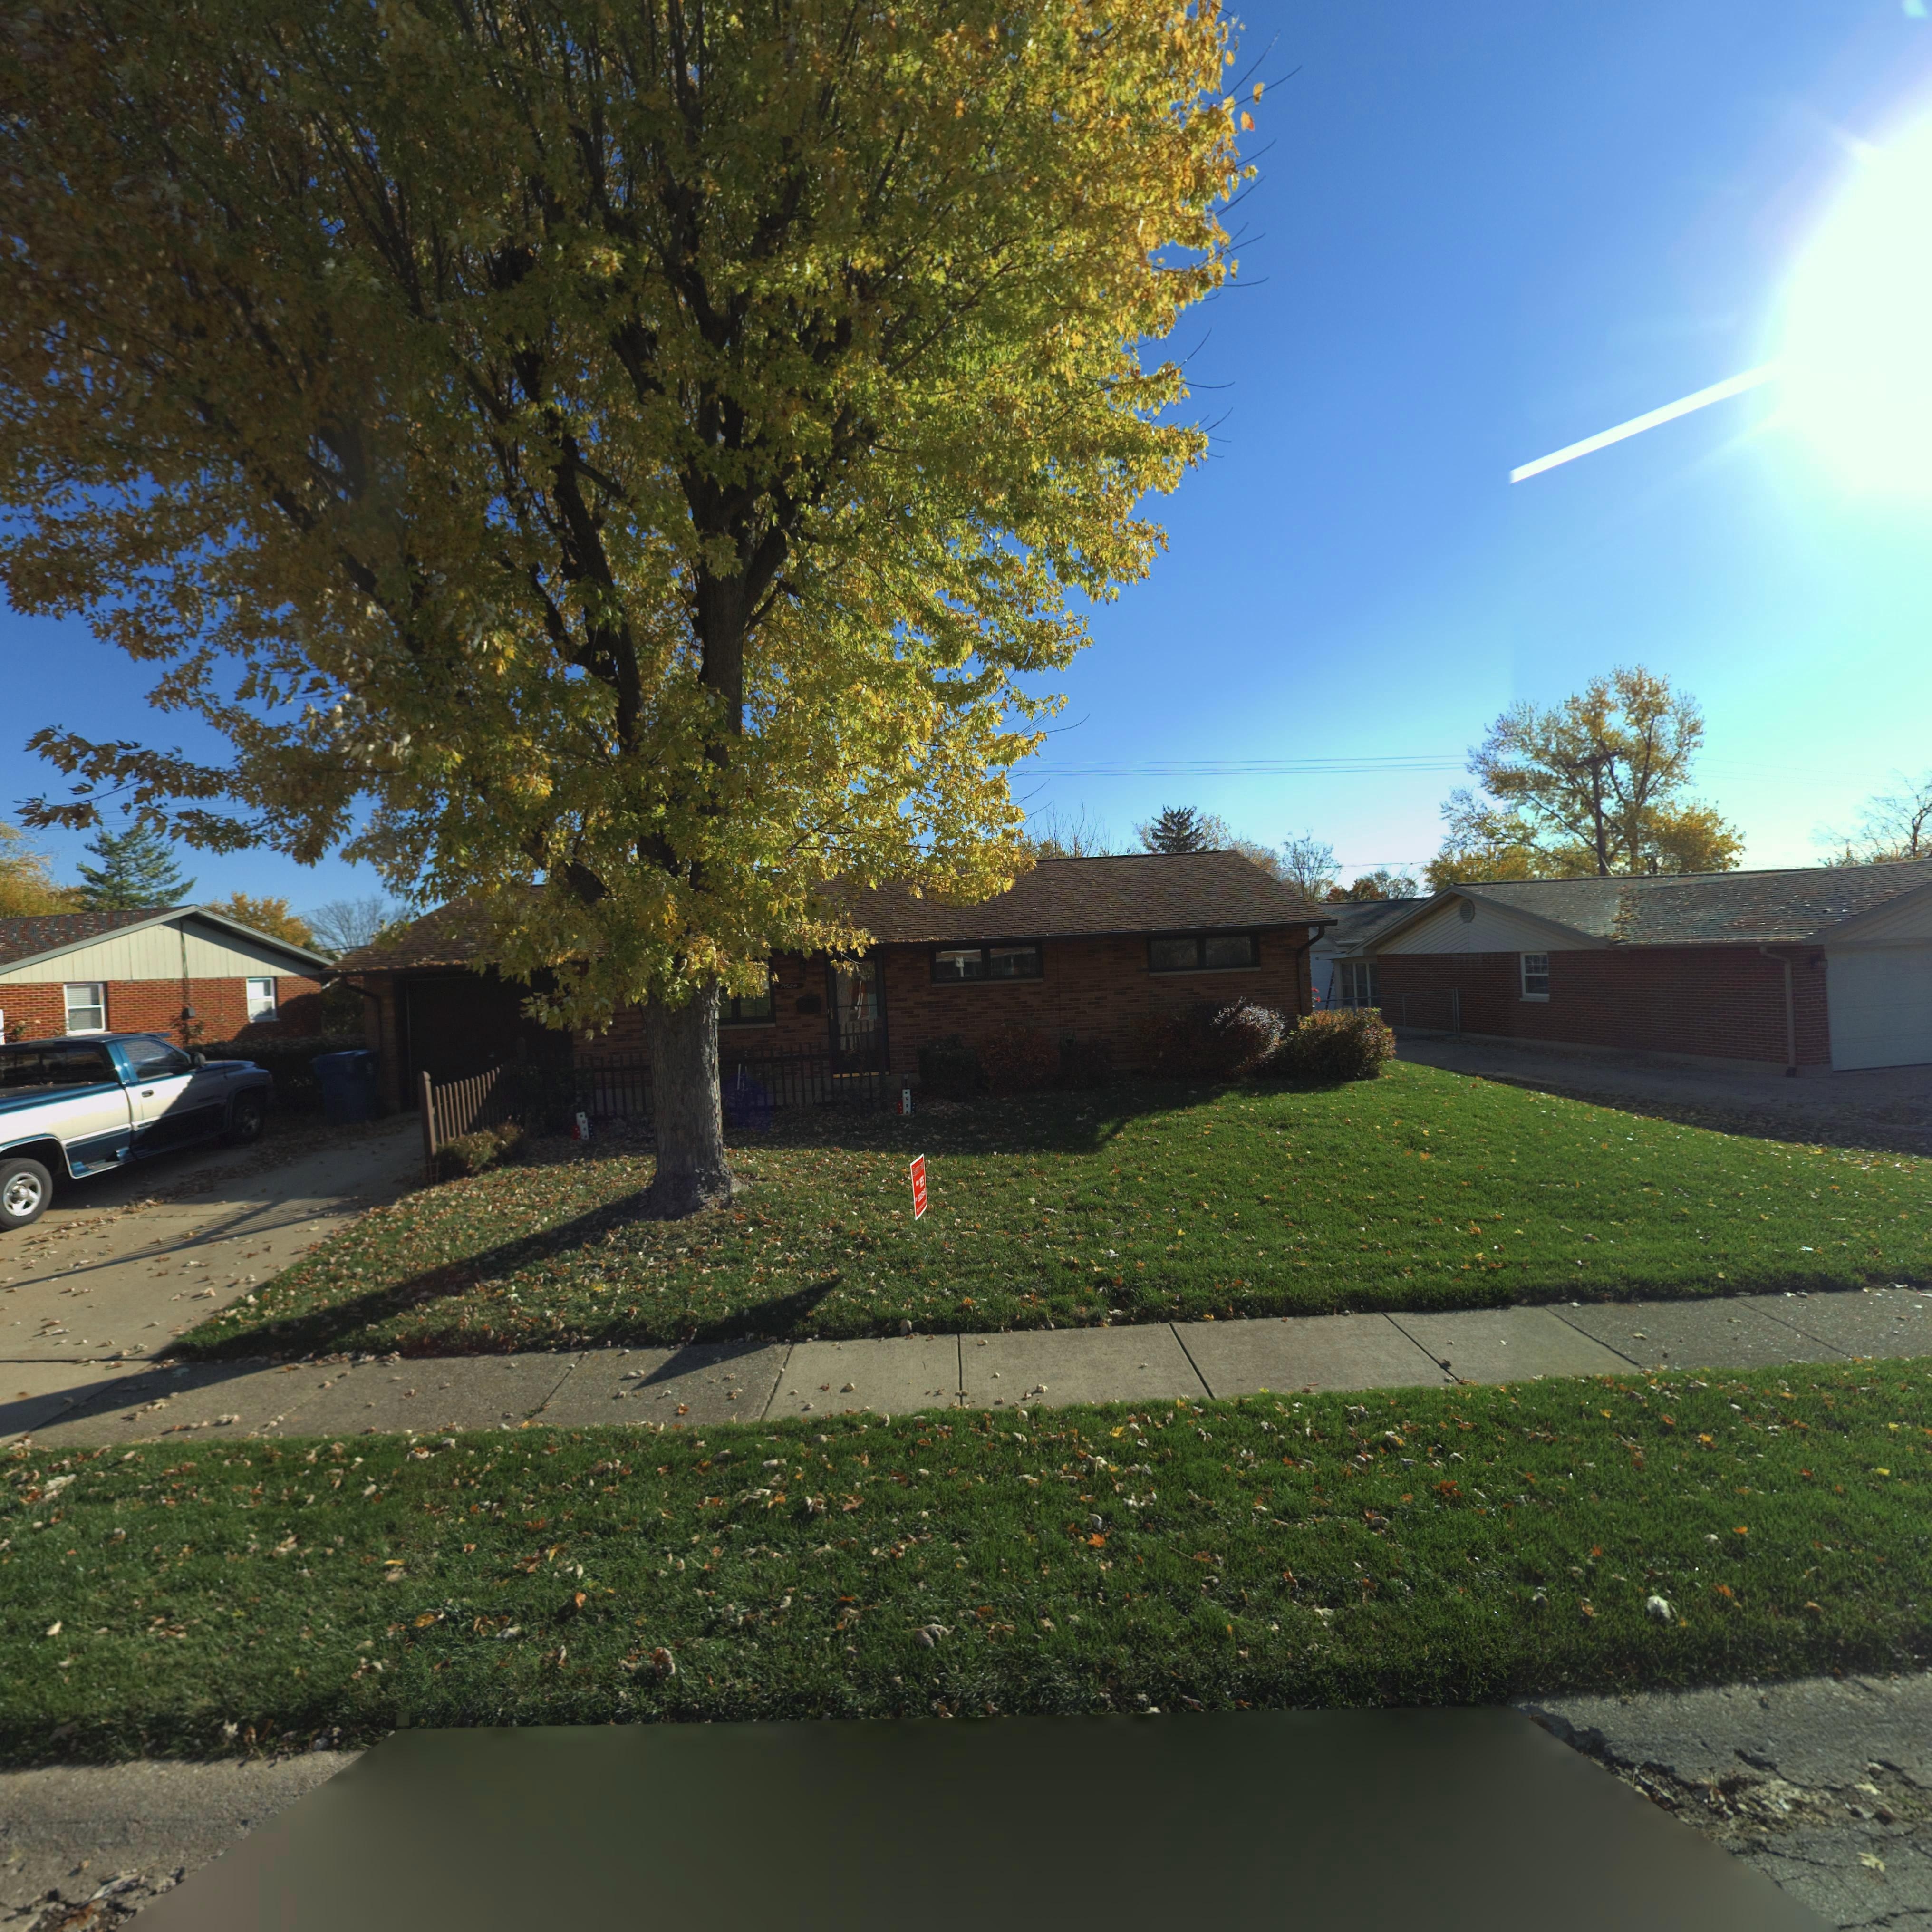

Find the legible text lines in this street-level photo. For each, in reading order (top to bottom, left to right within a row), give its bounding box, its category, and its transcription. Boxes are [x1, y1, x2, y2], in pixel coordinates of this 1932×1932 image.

[779, 983, 799, 990] StreetNumber: 76**